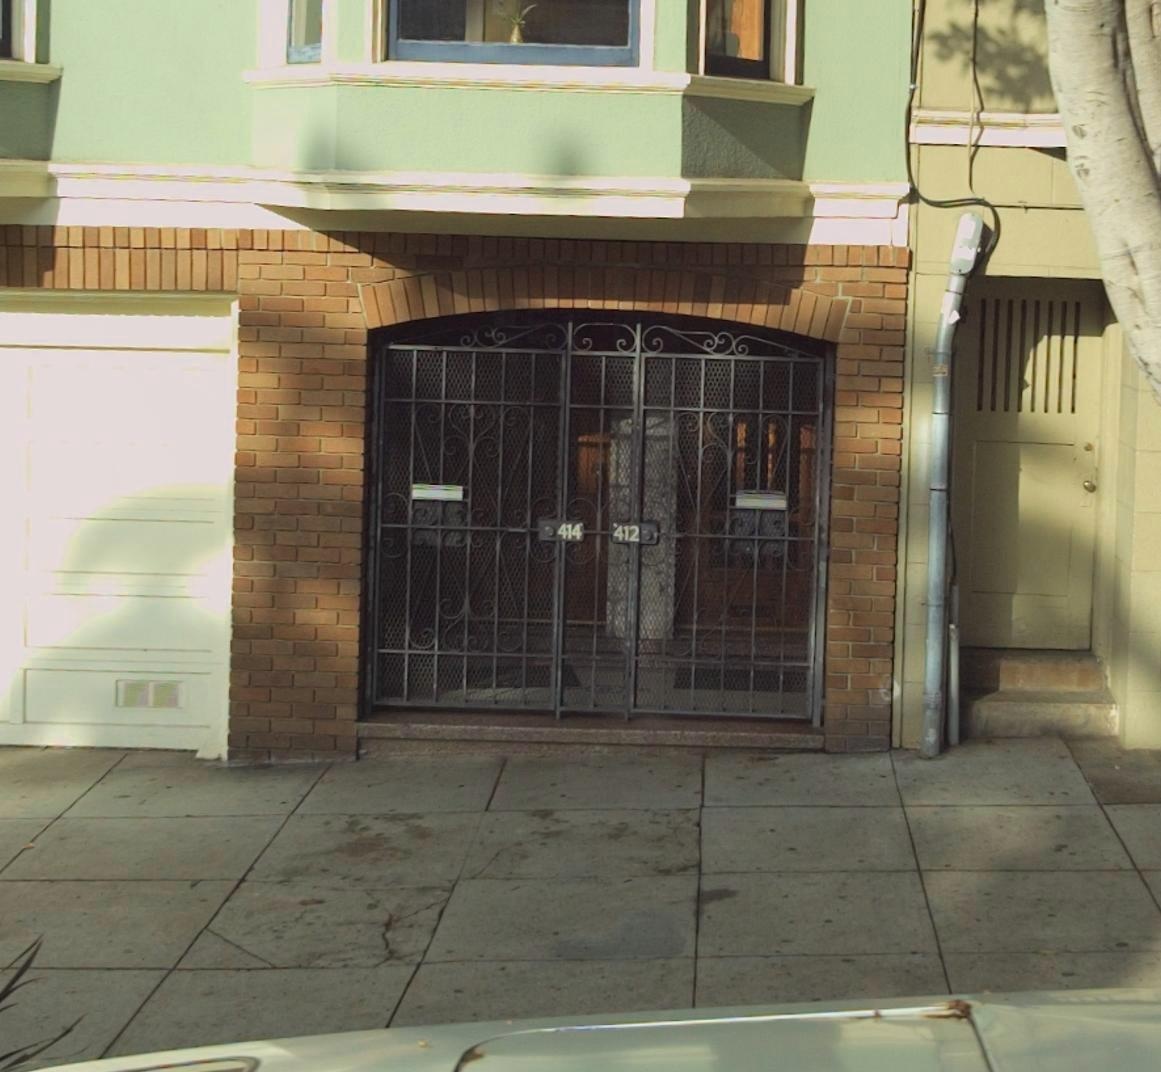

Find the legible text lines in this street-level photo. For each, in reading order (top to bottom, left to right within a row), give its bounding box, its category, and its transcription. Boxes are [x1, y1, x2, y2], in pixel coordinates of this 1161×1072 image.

[557, 522, 584, 540] StreetNumber: 414
[611, 524, 641, 543] StreetNumber: 412